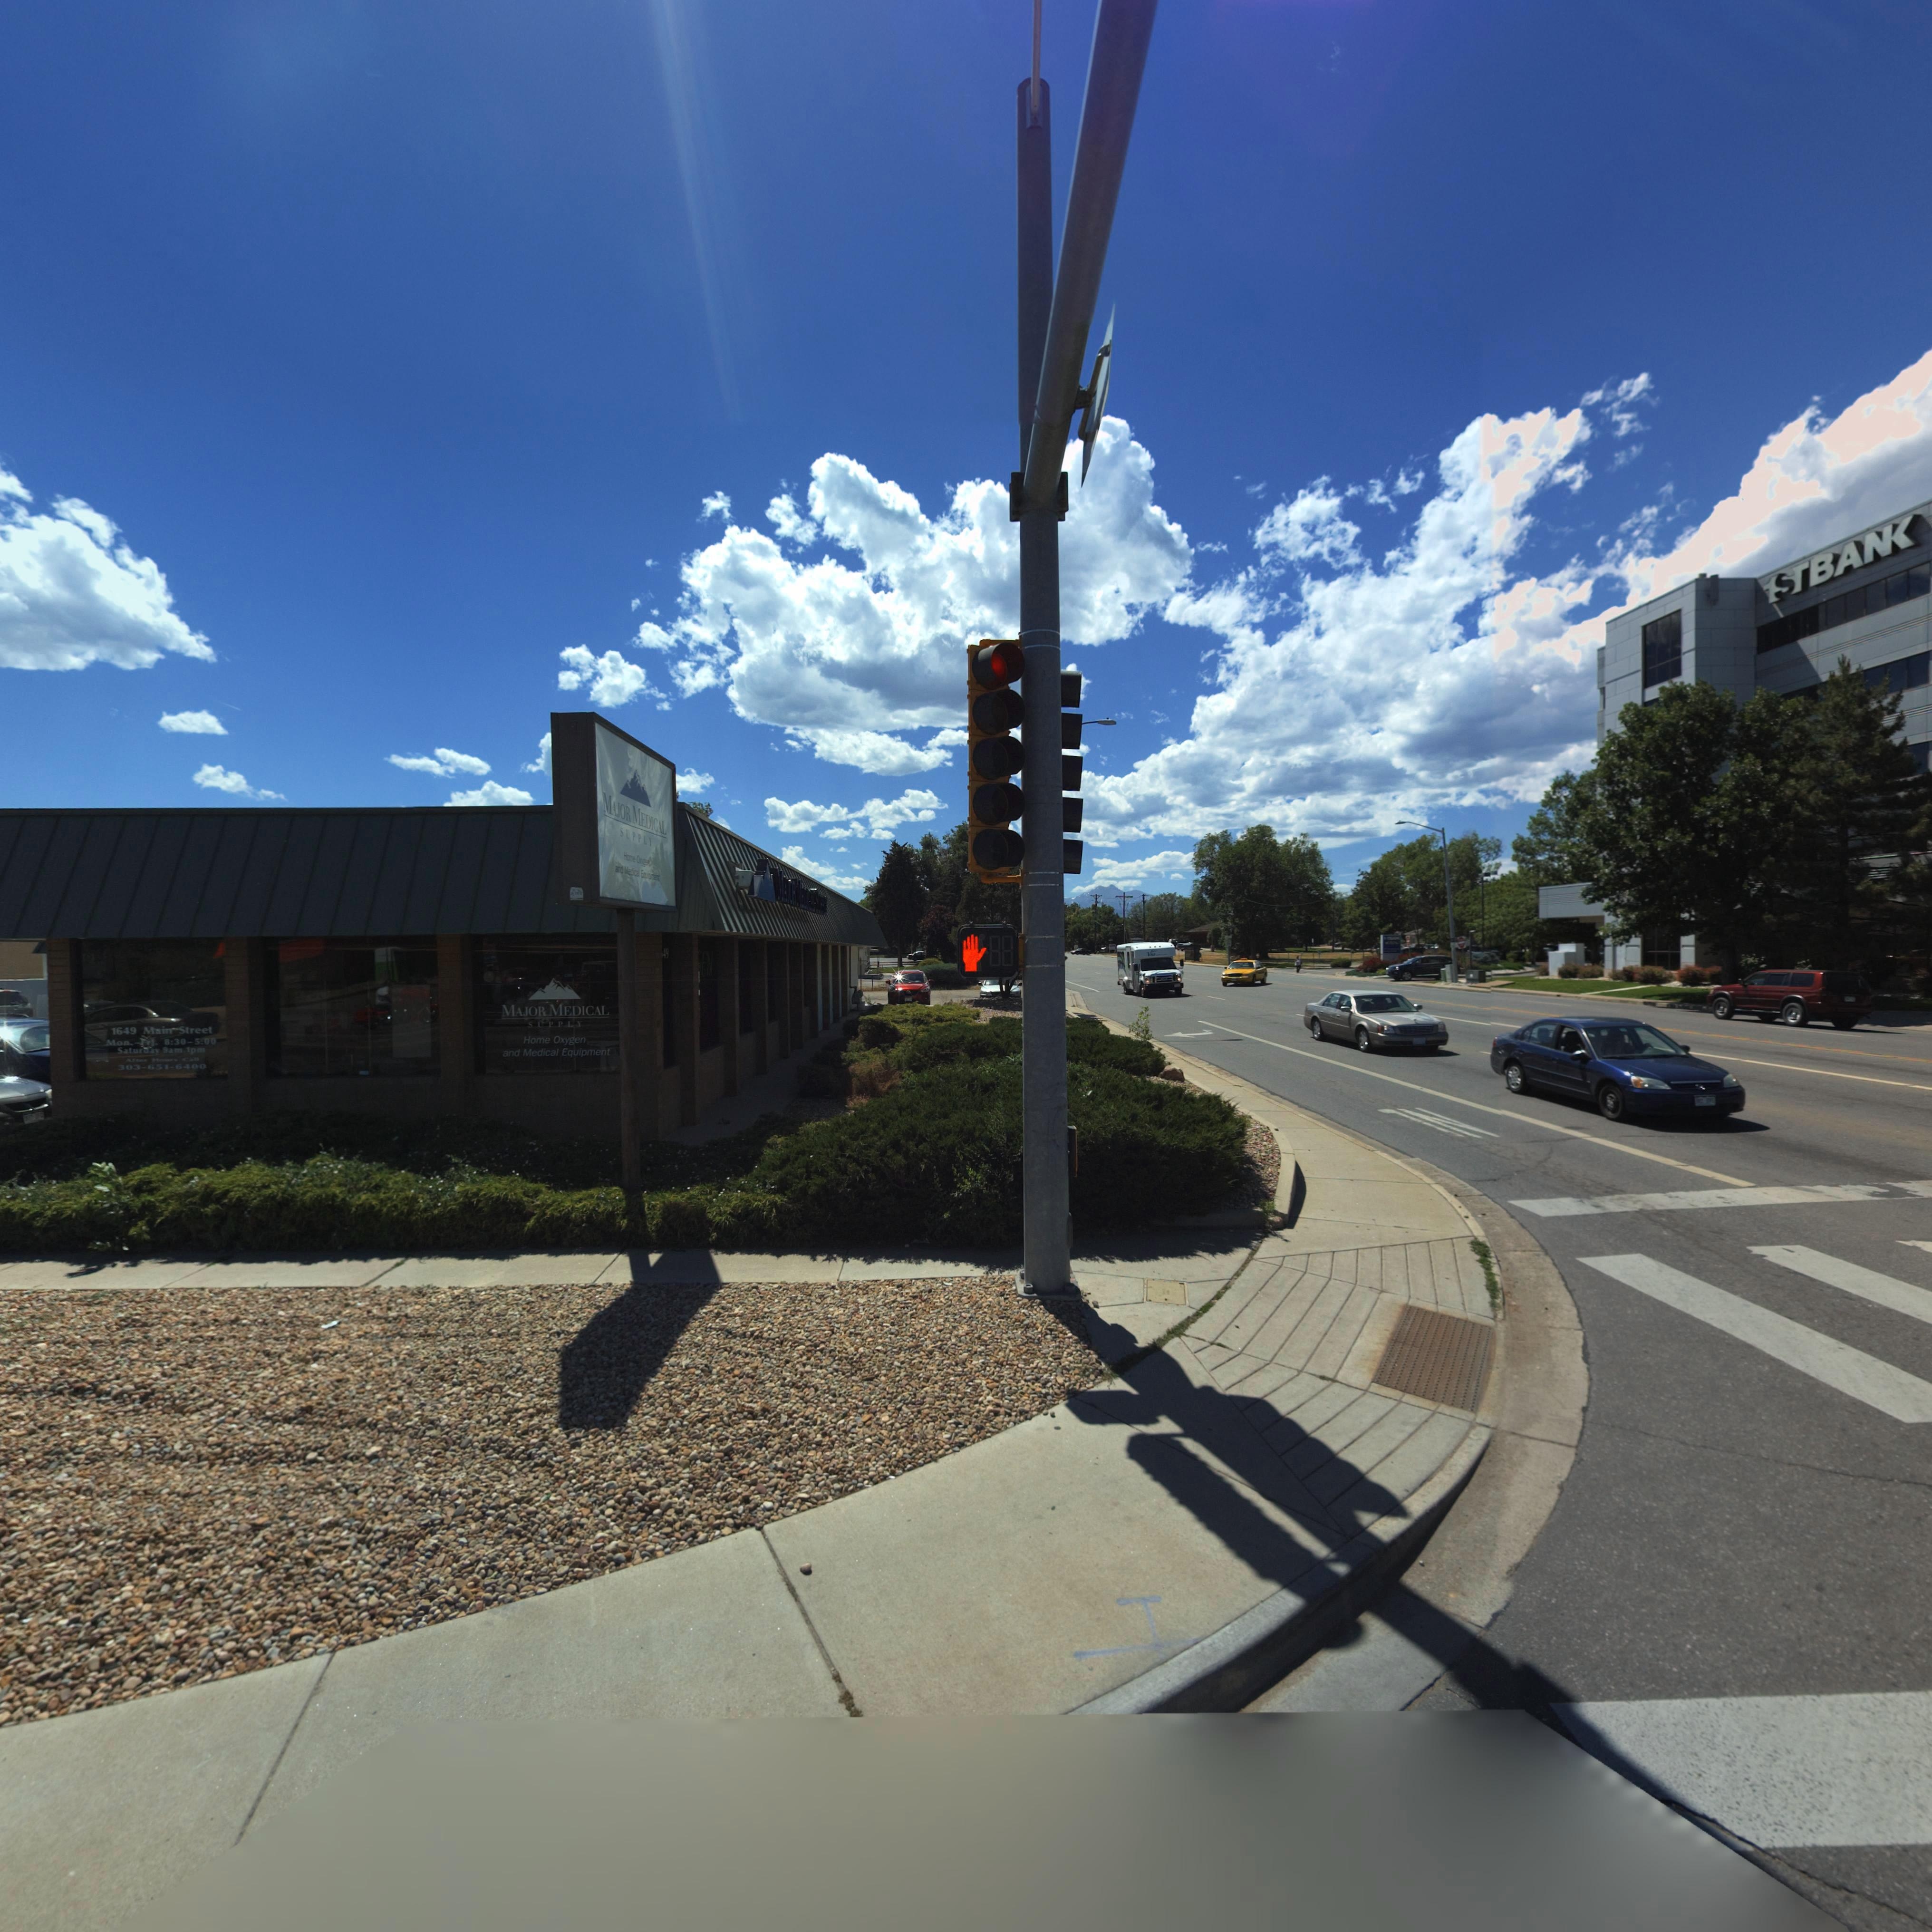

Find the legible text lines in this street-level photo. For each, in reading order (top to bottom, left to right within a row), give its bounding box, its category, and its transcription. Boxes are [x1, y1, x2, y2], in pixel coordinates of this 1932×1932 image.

[1762, 513, 1917, 605] BusinessName: 1STBAN*
[601, 791, 667, 835] BusinessName: MAJOR MEDICAL
[619, 827, 652, 847] BusinessName: SUPPLY
[775, 867, 828, 916] BusinessName: MAJOR MEDICALS
[501, 1004, 610, 1016] BusinessName: MAJOR MEDICAL
[109, 1025, 137, 1036] StreetNumber: 1649
[142, 1025, 213, 1035] StreetName:  Main Street
[528, 1020, 582, 1028] BusinessName: SUPPLY